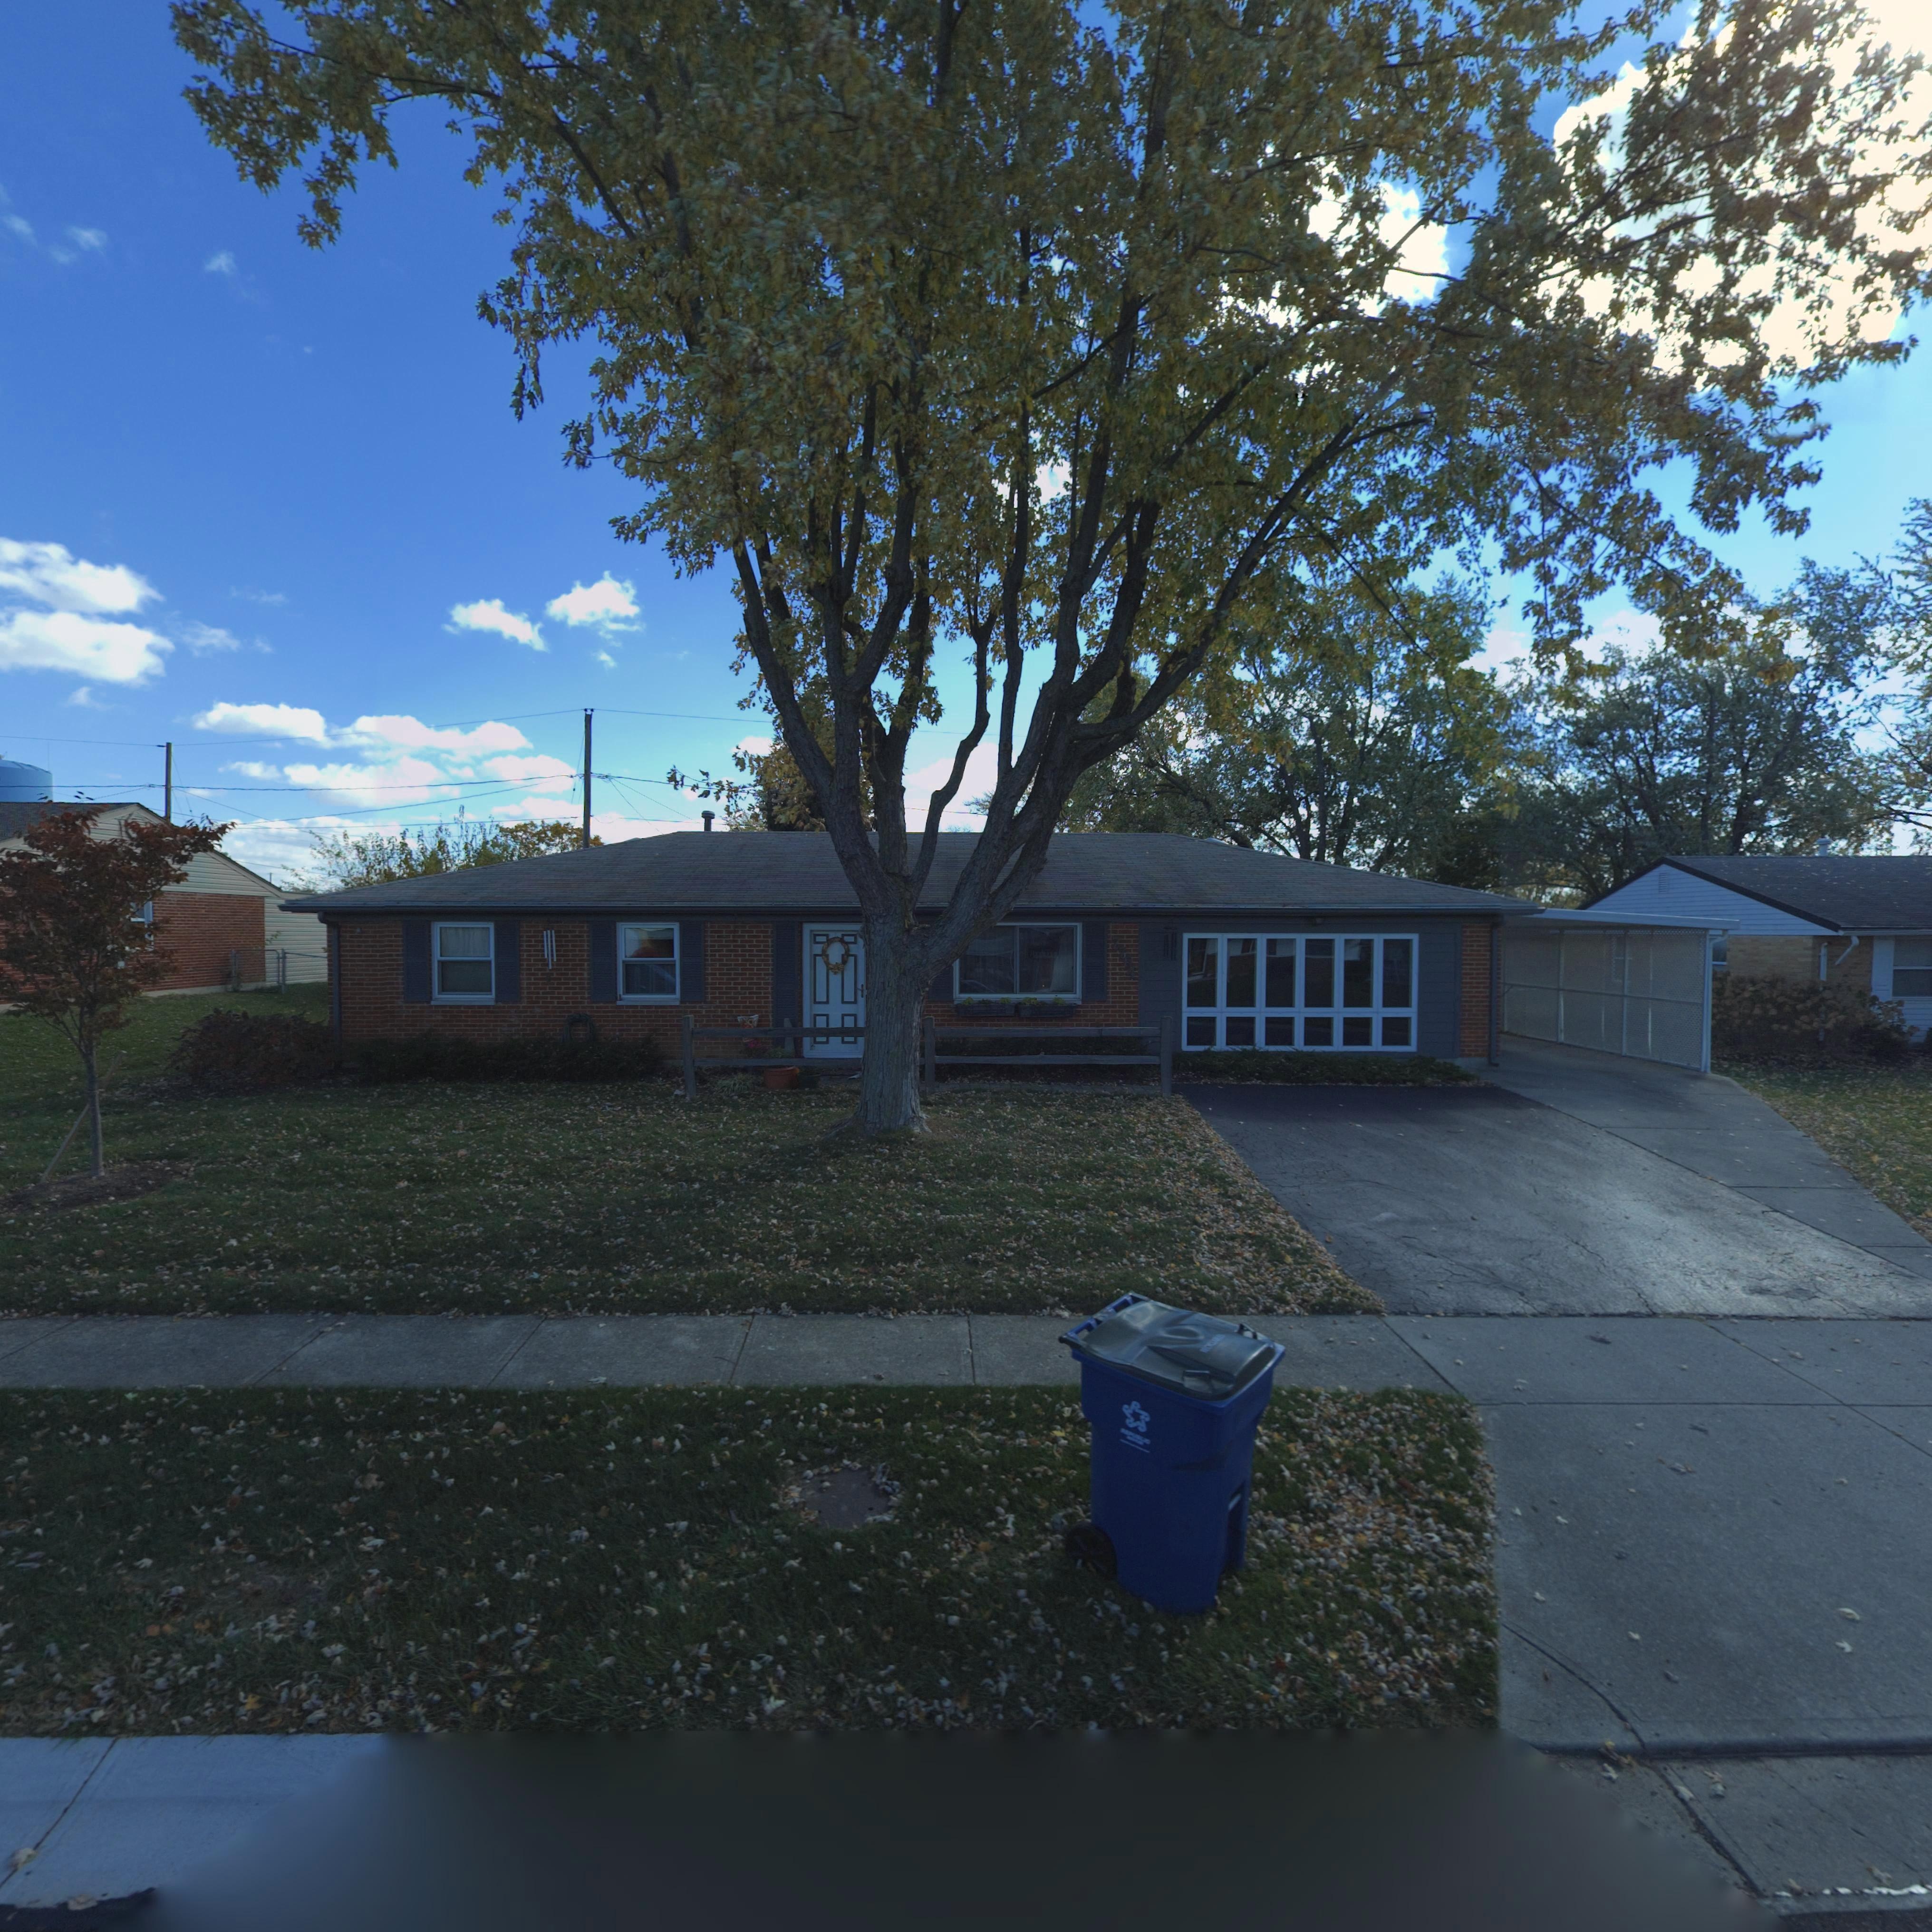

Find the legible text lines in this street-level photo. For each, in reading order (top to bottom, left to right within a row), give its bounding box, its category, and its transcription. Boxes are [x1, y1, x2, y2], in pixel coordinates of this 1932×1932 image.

[1111, 936, 1136, 979] StreetNumber: 77*4